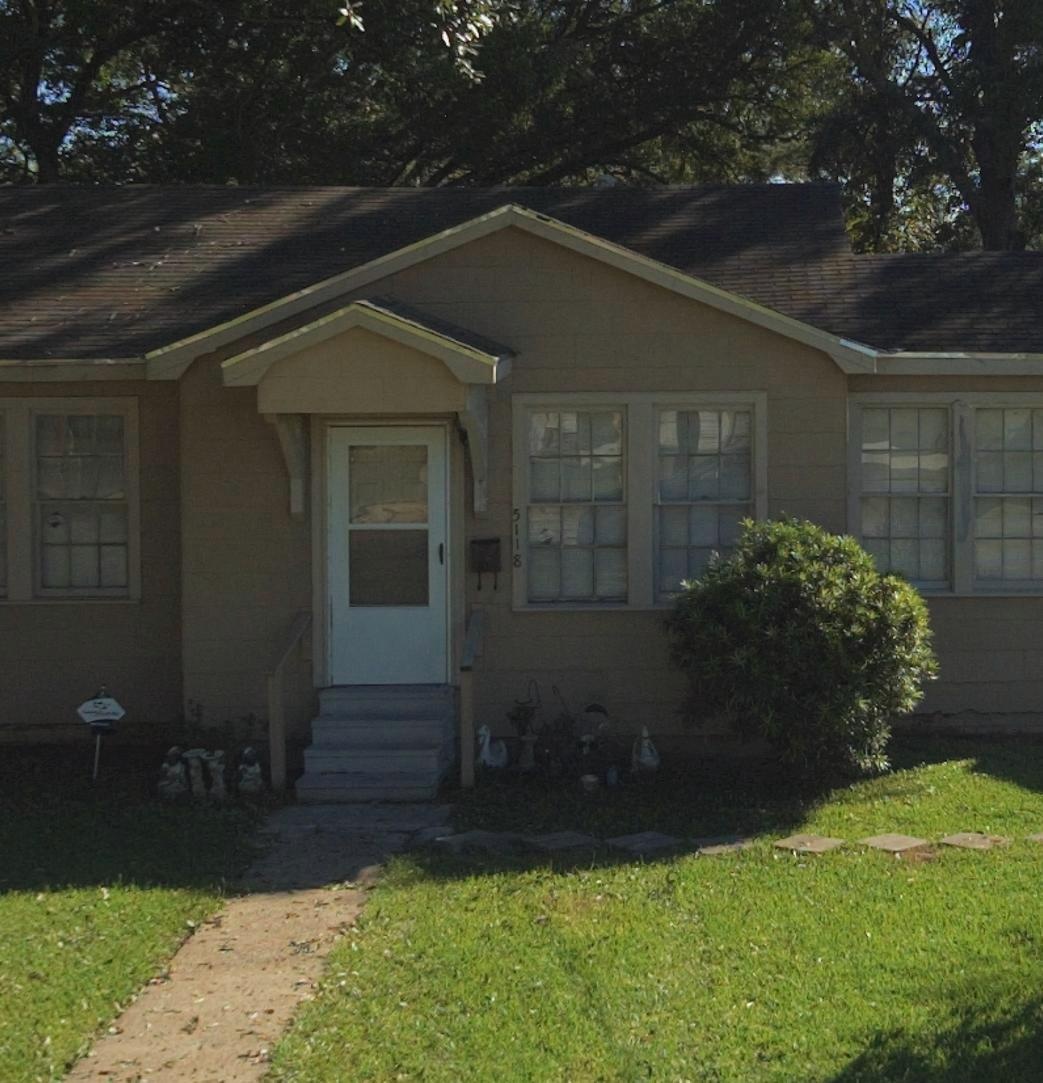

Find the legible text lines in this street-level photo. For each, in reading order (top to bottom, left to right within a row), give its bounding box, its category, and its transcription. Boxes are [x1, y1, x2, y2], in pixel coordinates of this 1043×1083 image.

[512, 506, 523, 570] StreetNumber: 5118